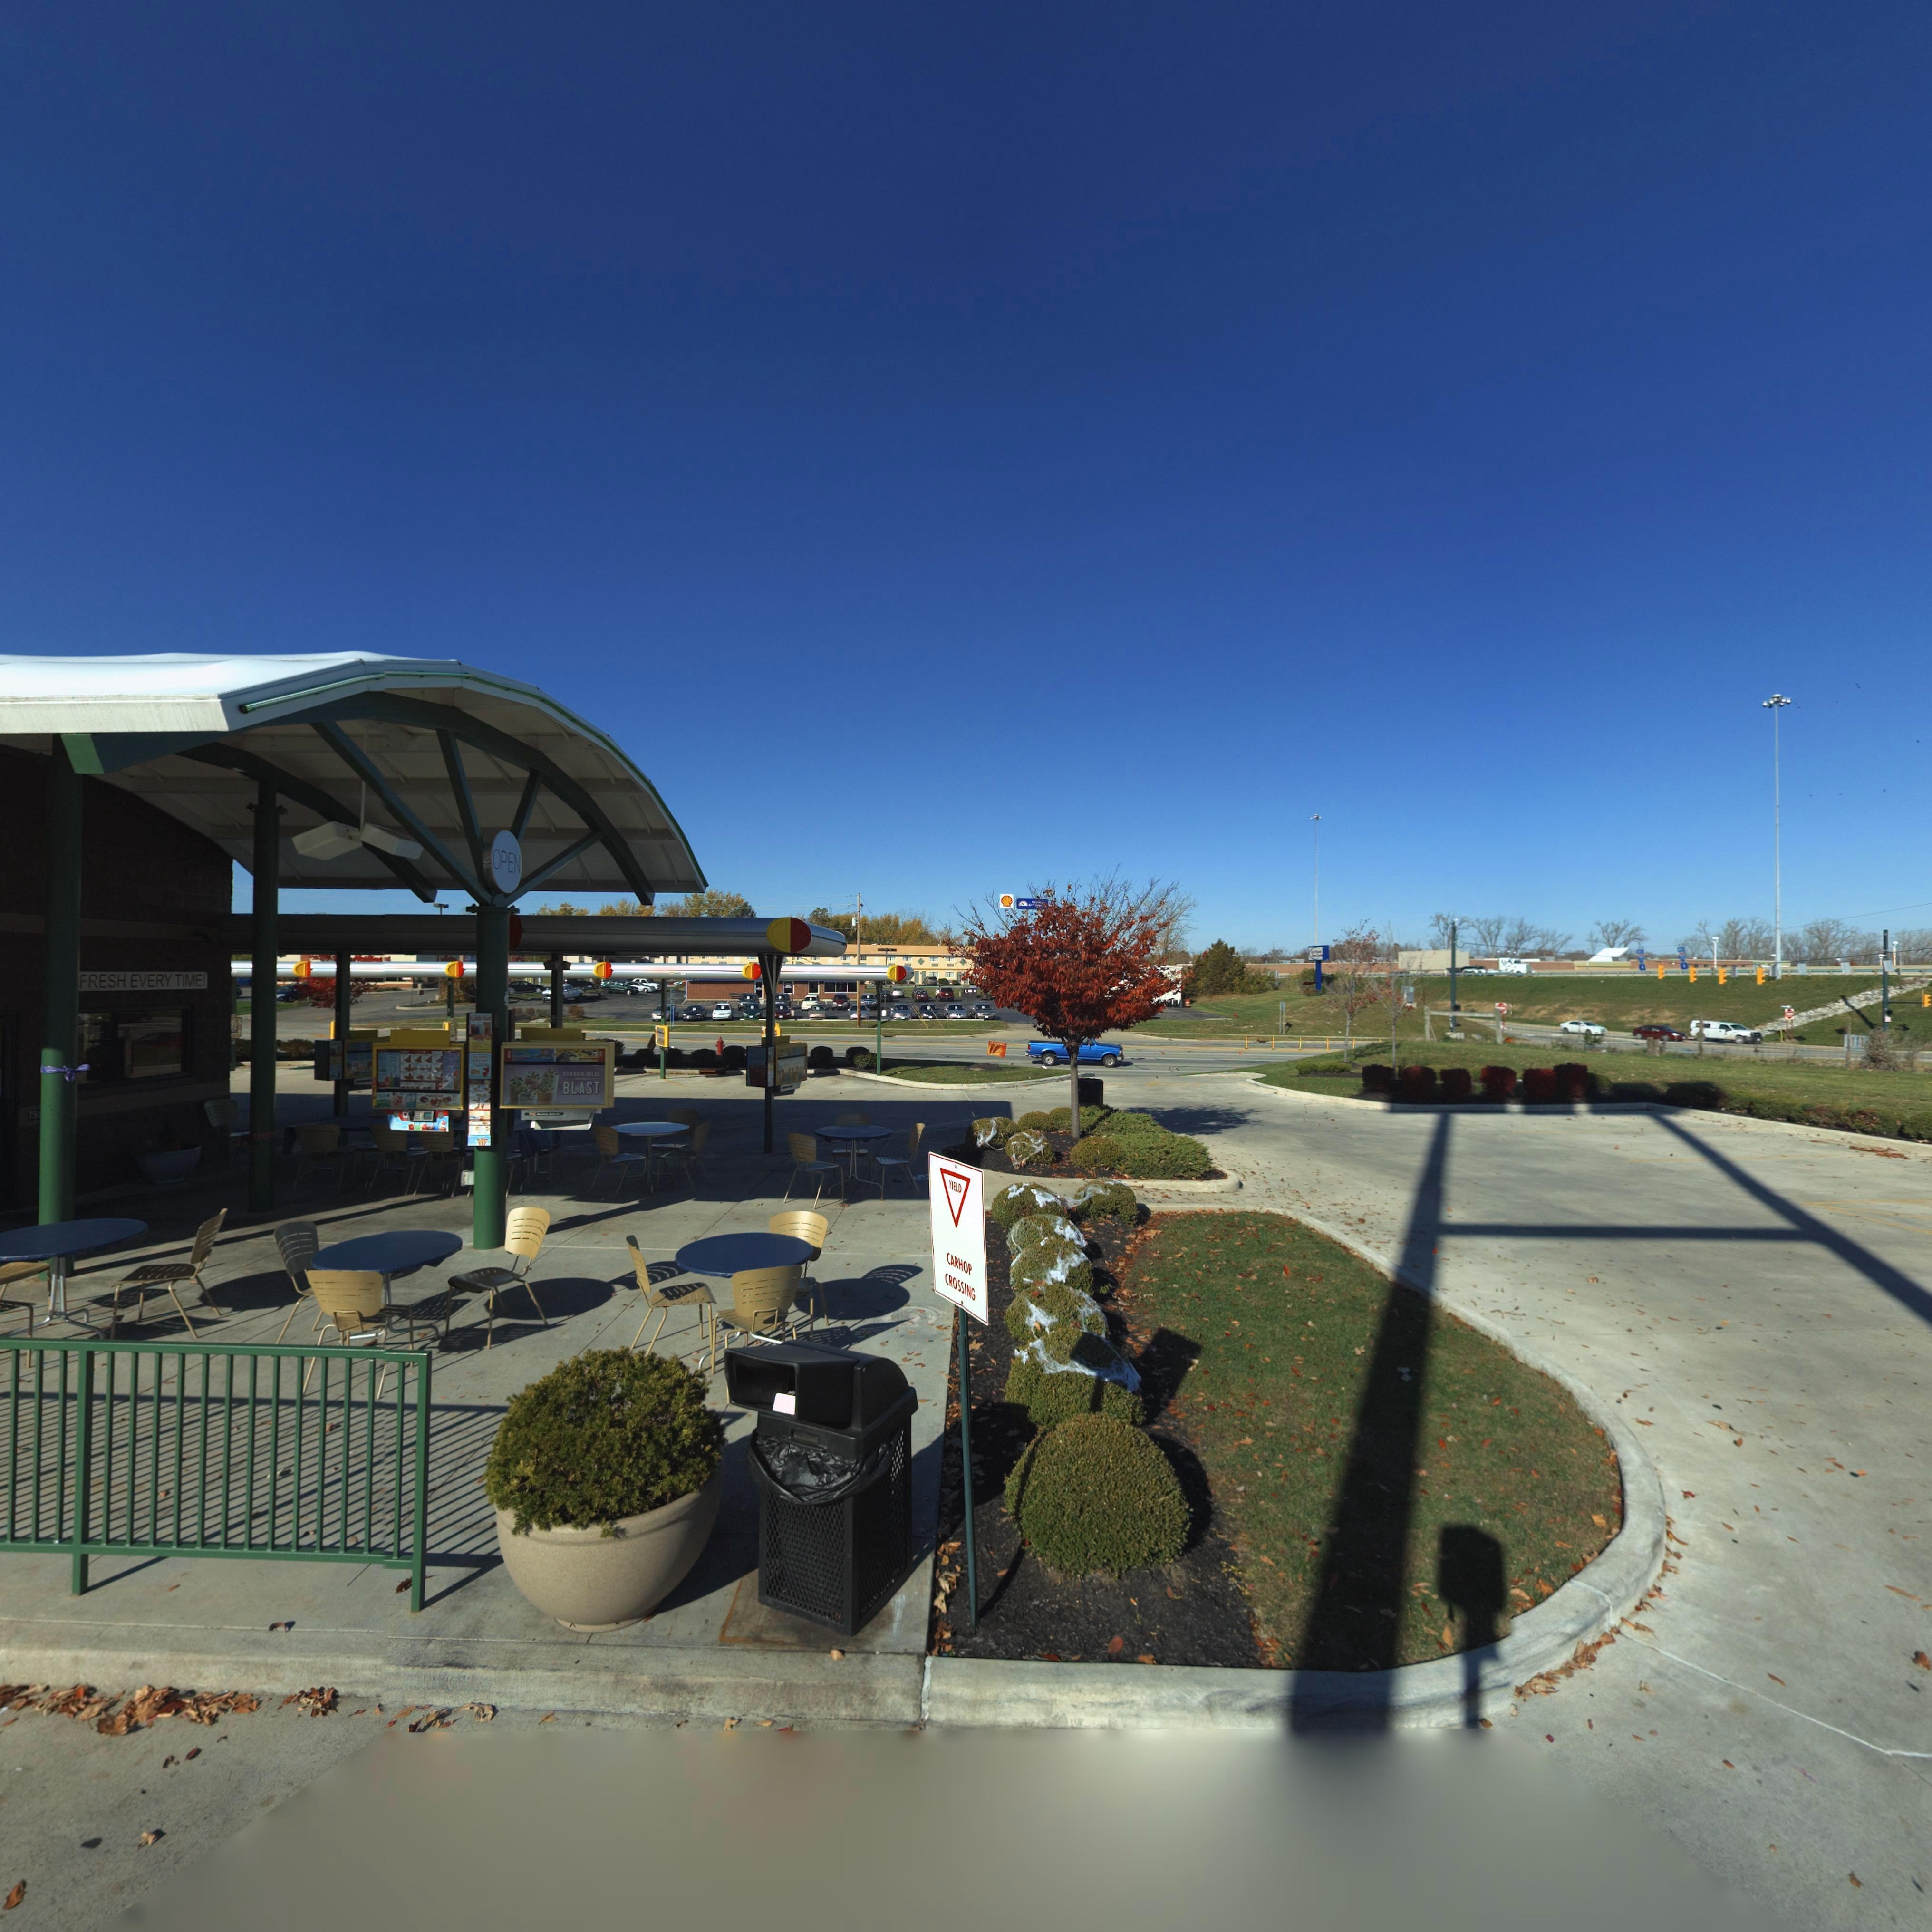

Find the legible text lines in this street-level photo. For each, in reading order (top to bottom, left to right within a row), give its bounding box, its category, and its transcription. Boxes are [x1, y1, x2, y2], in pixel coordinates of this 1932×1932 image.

[28, 1110, 38, 1120] StreetNumber: 78